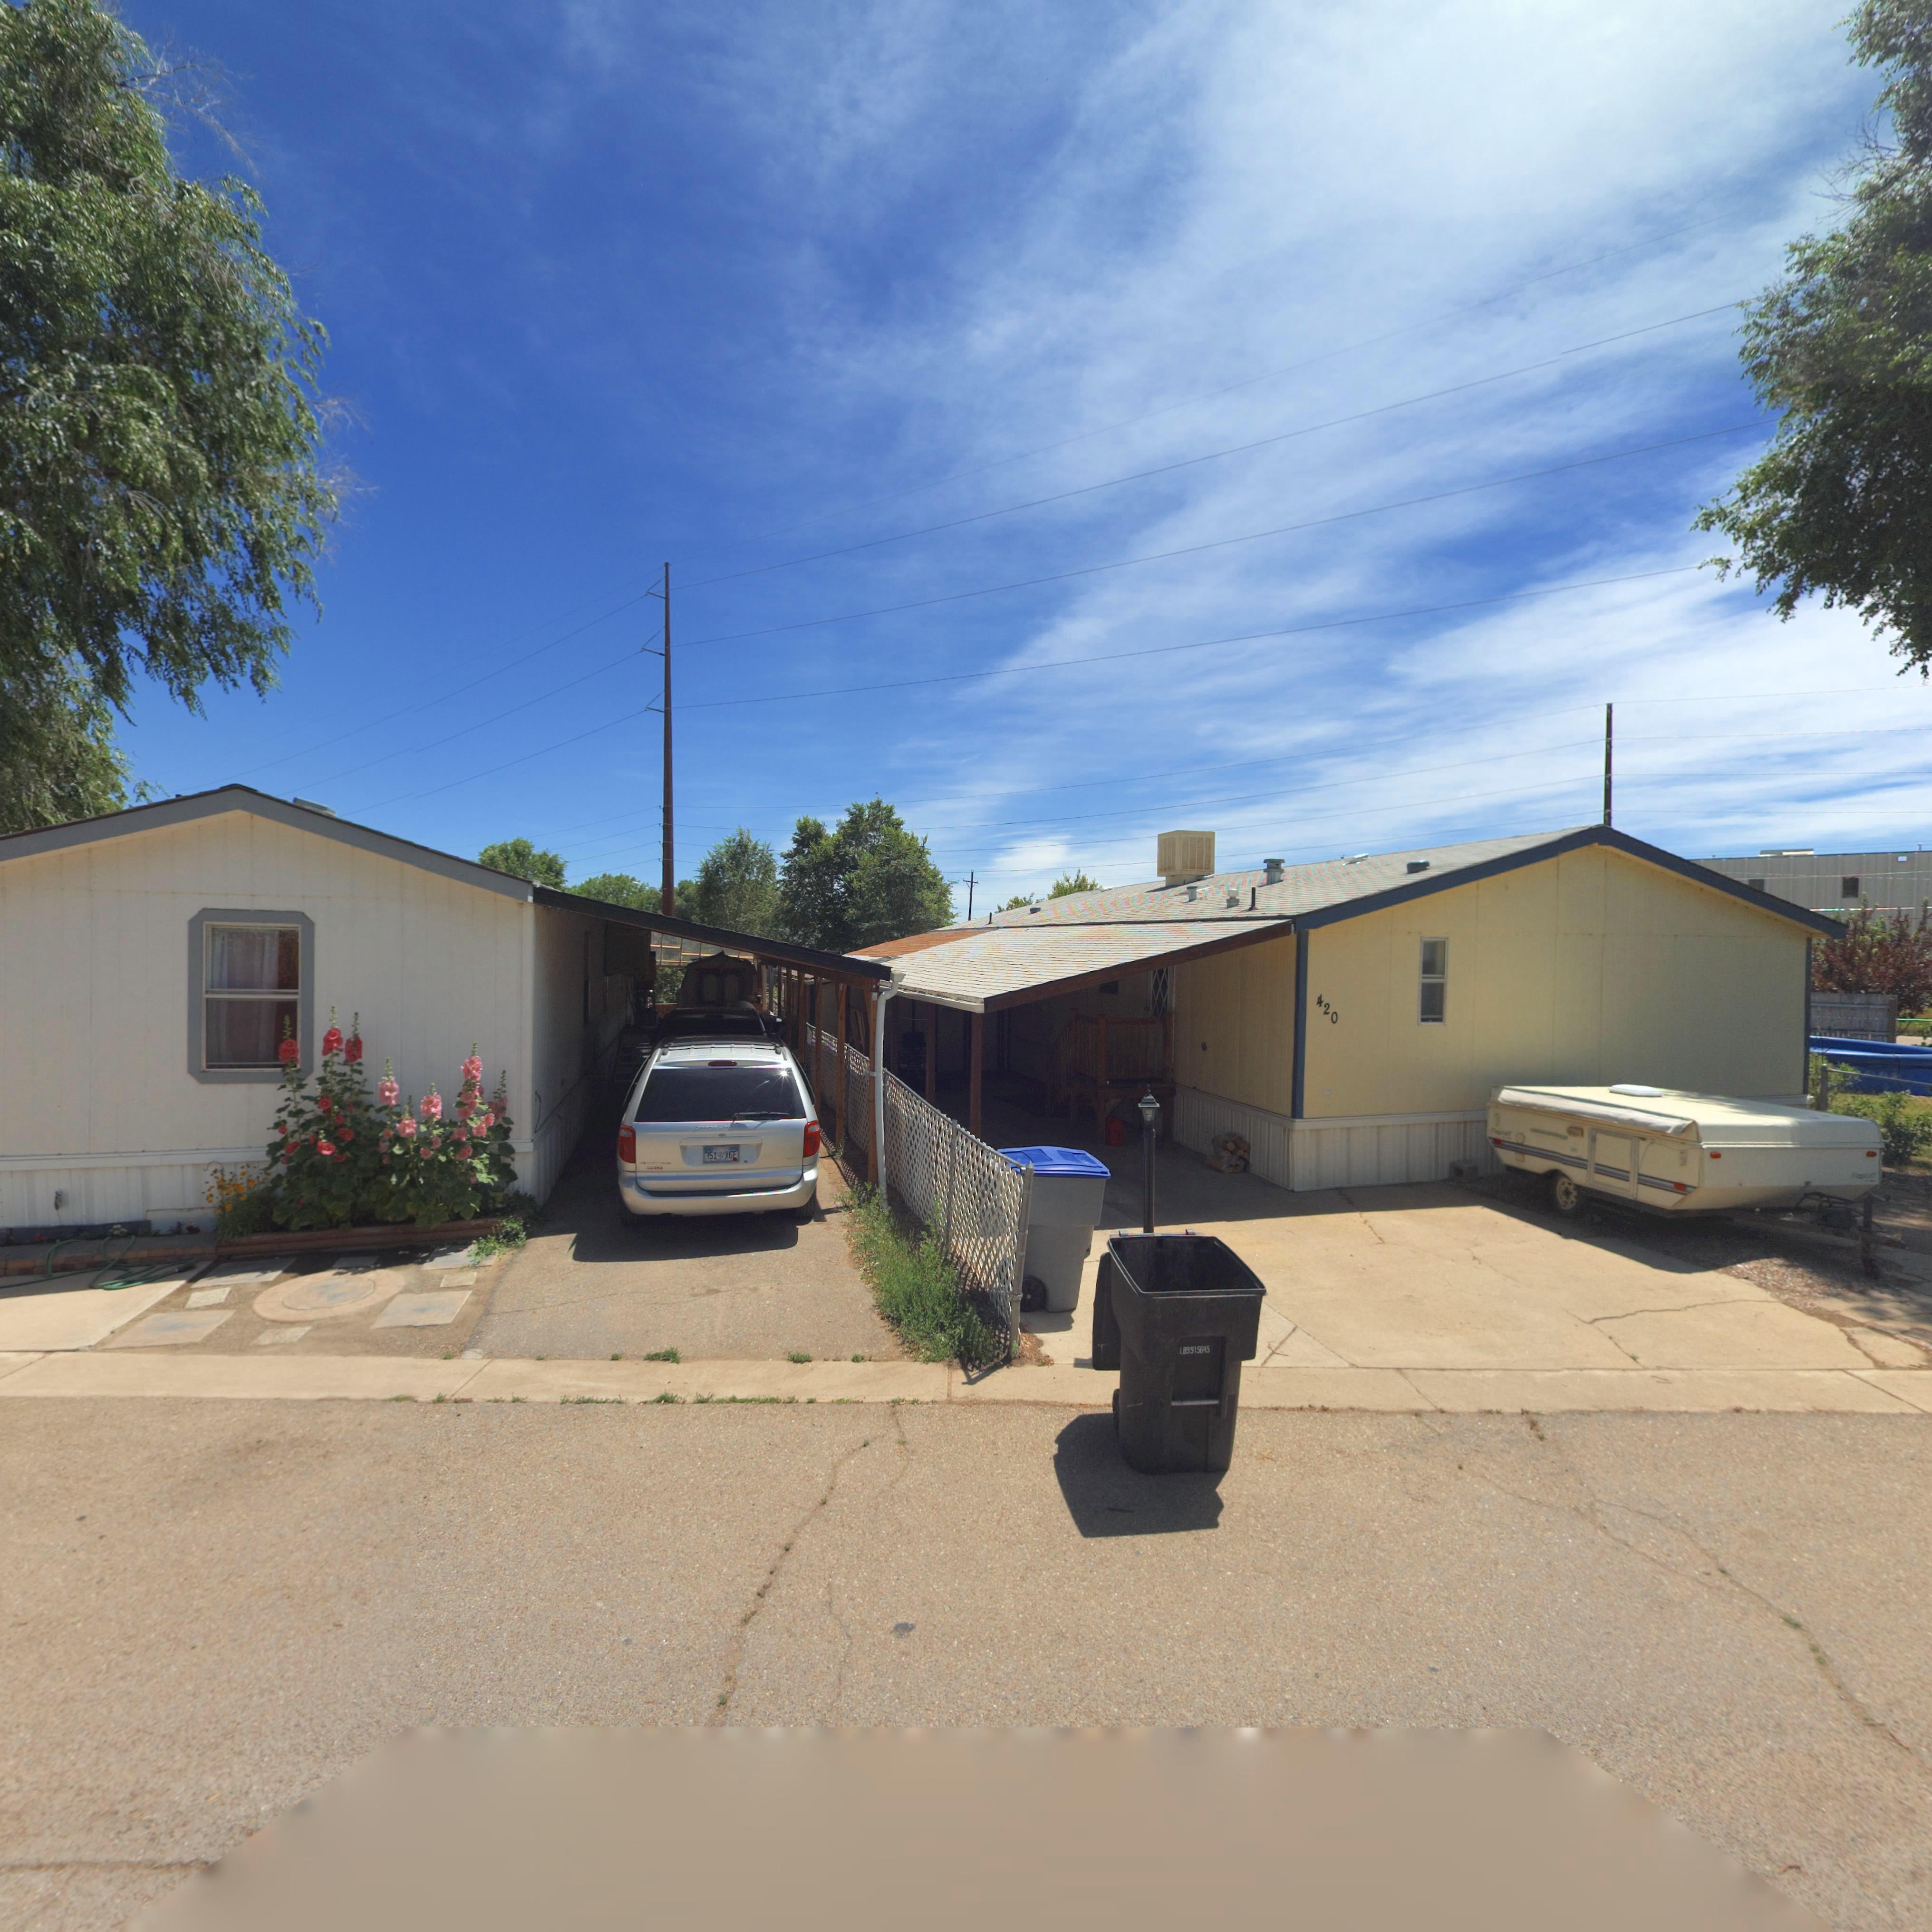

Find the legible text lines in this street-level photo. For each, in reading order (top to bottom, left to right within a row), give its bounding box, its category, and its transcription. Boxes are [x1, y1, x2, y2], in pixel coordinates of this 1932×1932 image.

[1316, 994, 1338, 1024] StreetNumber: 420